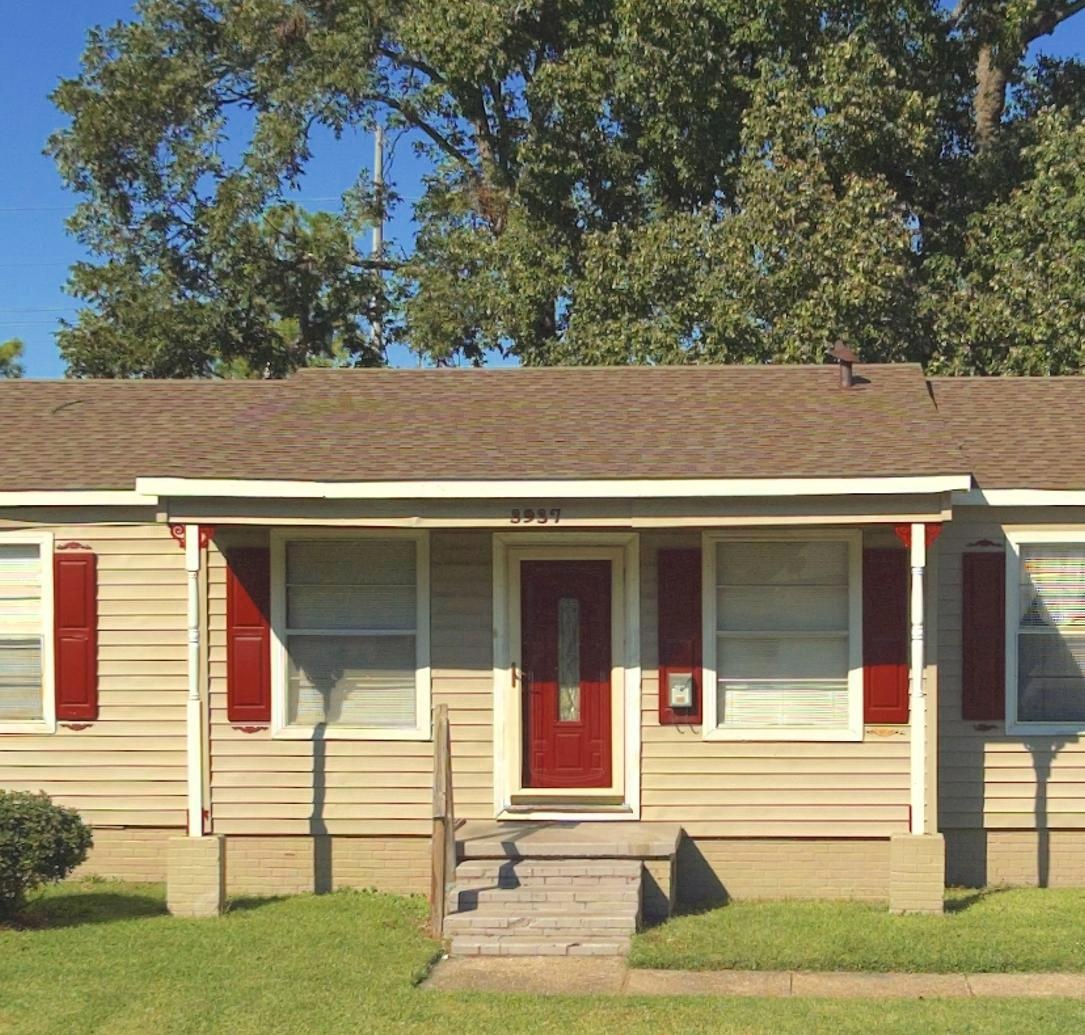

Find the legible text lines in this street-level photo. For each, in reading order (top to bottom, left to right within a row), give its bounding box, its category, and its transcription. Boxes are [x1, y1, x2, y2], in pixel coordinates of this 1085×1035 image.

[509, 507, 562, 525] StreetNumber: 3937